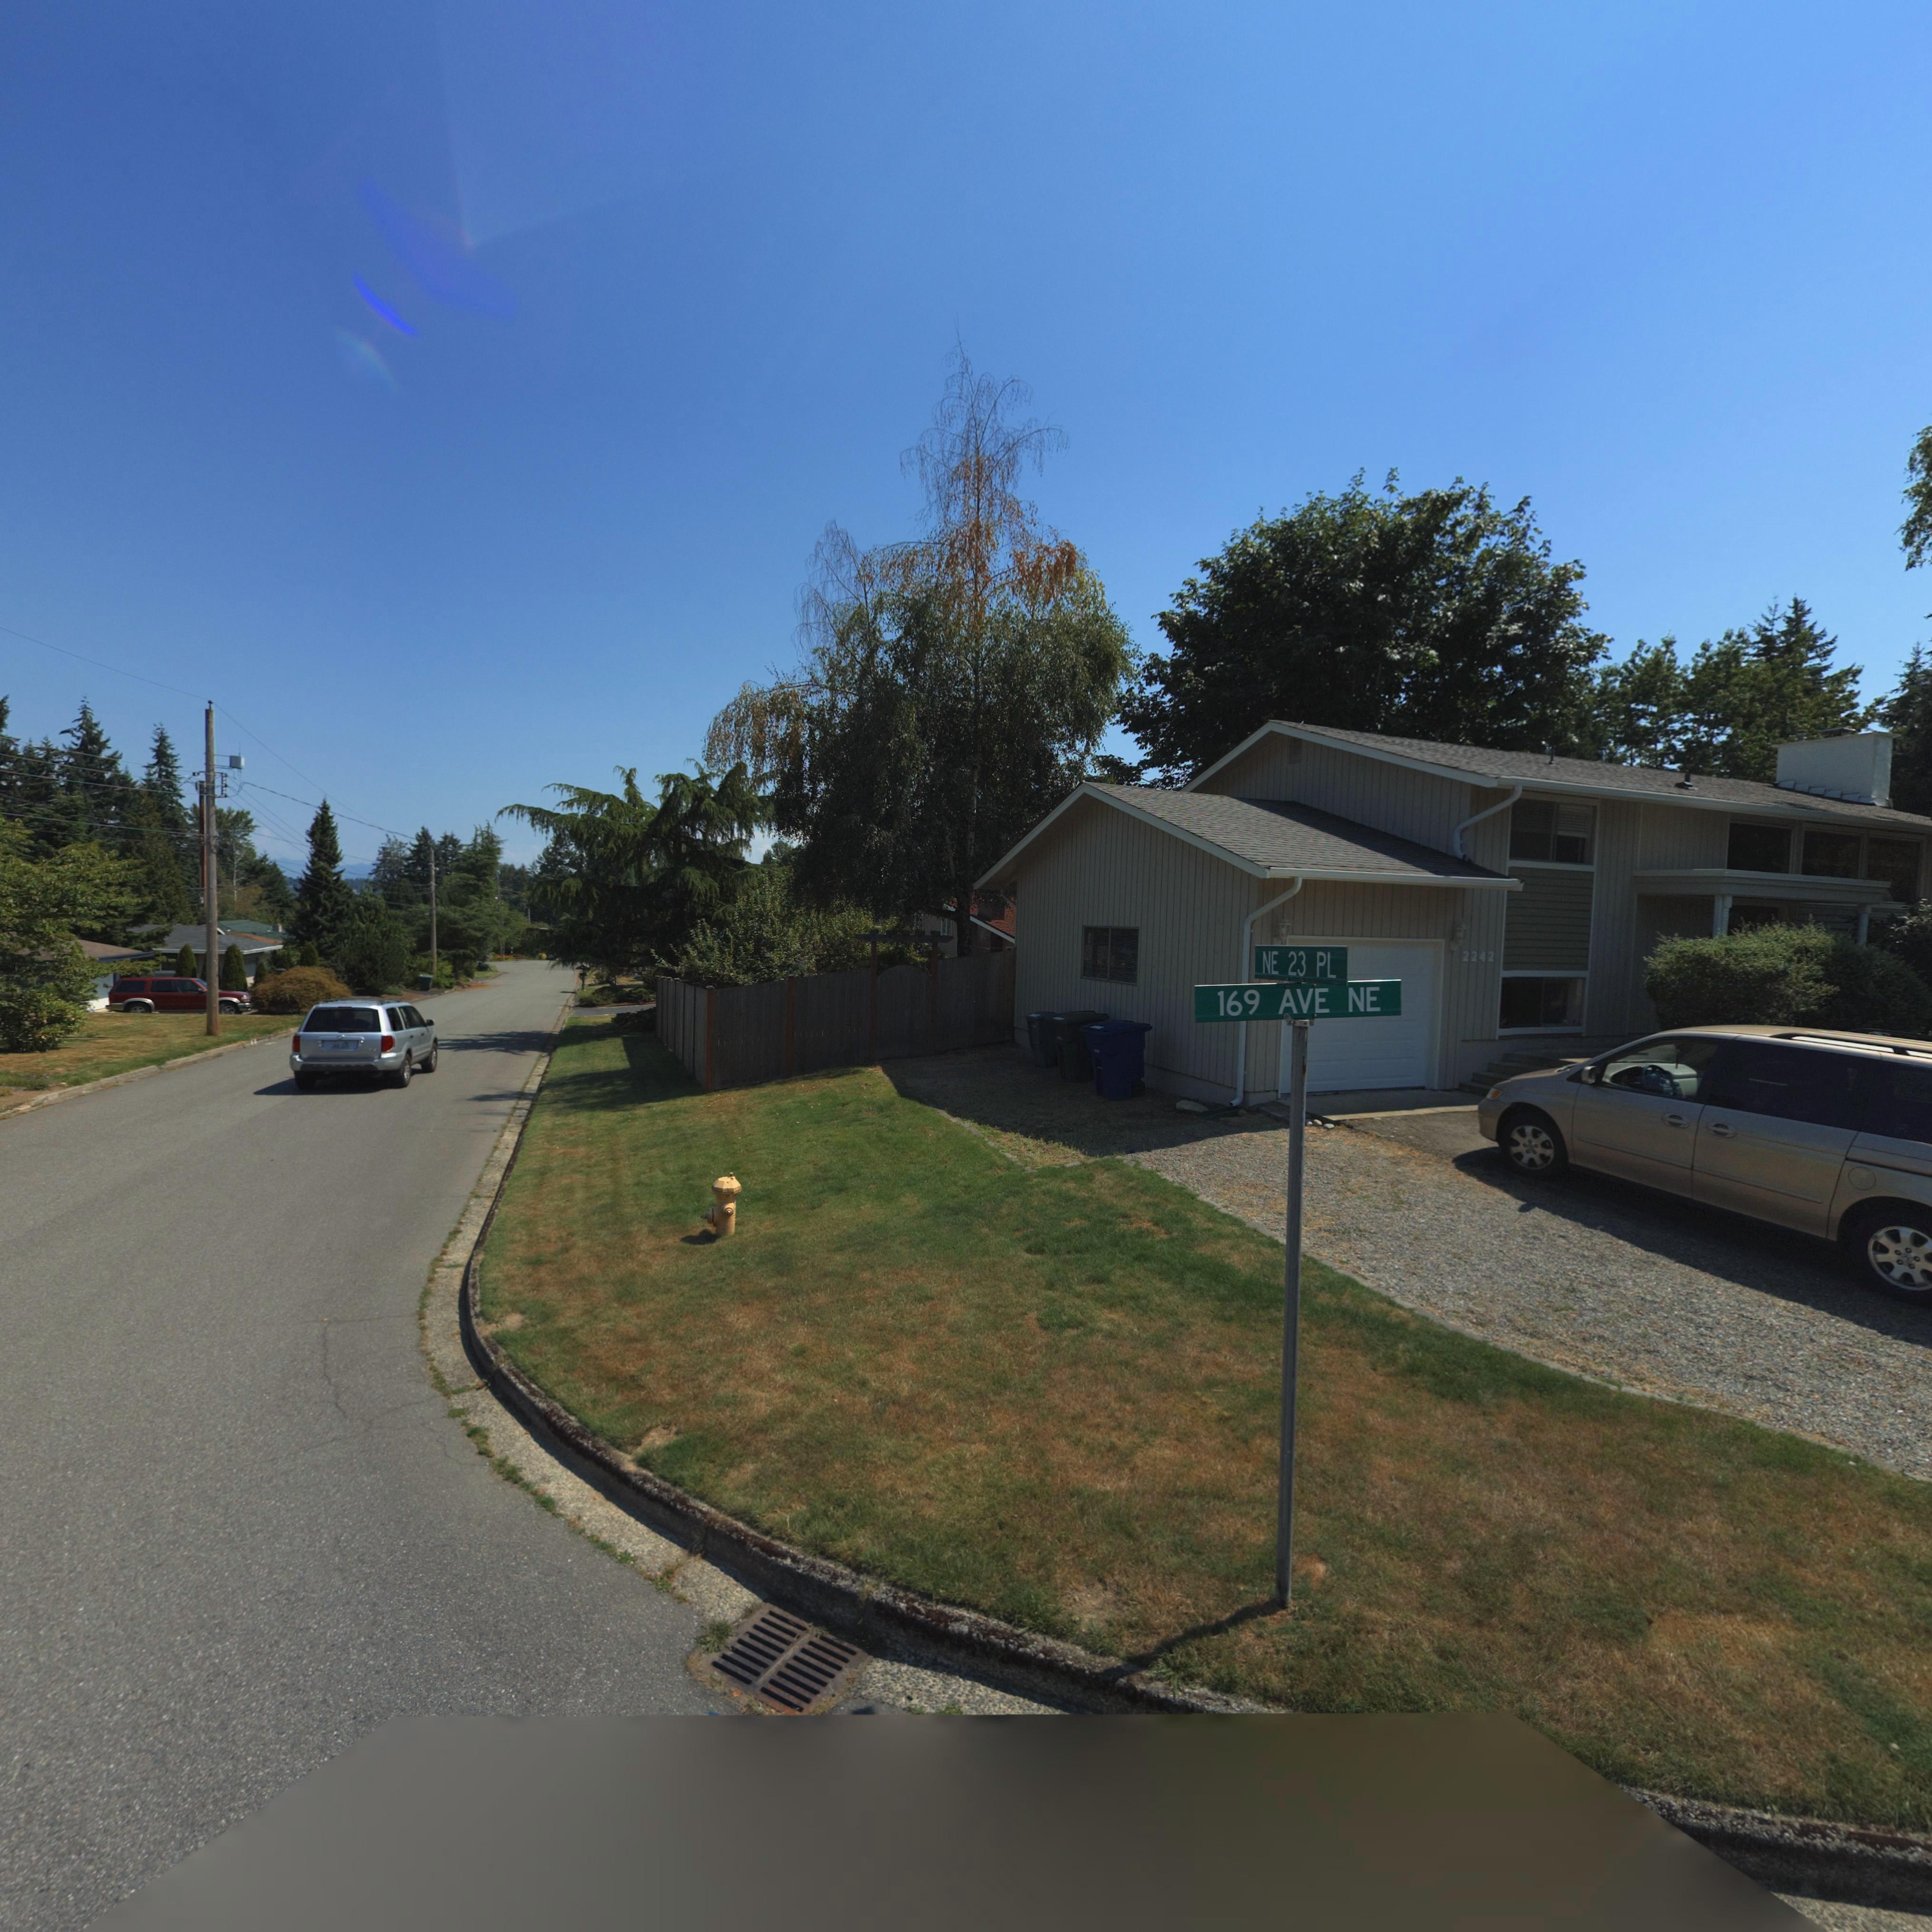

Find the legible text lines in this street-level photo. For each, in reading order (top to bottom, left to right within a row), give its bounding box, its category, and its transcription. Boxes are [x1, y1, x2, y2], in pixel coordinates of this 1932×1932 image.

[1262, 949, 1338, 980] StreetName: NE 23 PL
[1463, 951, 1493, 961] StreetNumber: 2242
[1216, 985, 1383, 1016] StreetName: 169 AVE NE